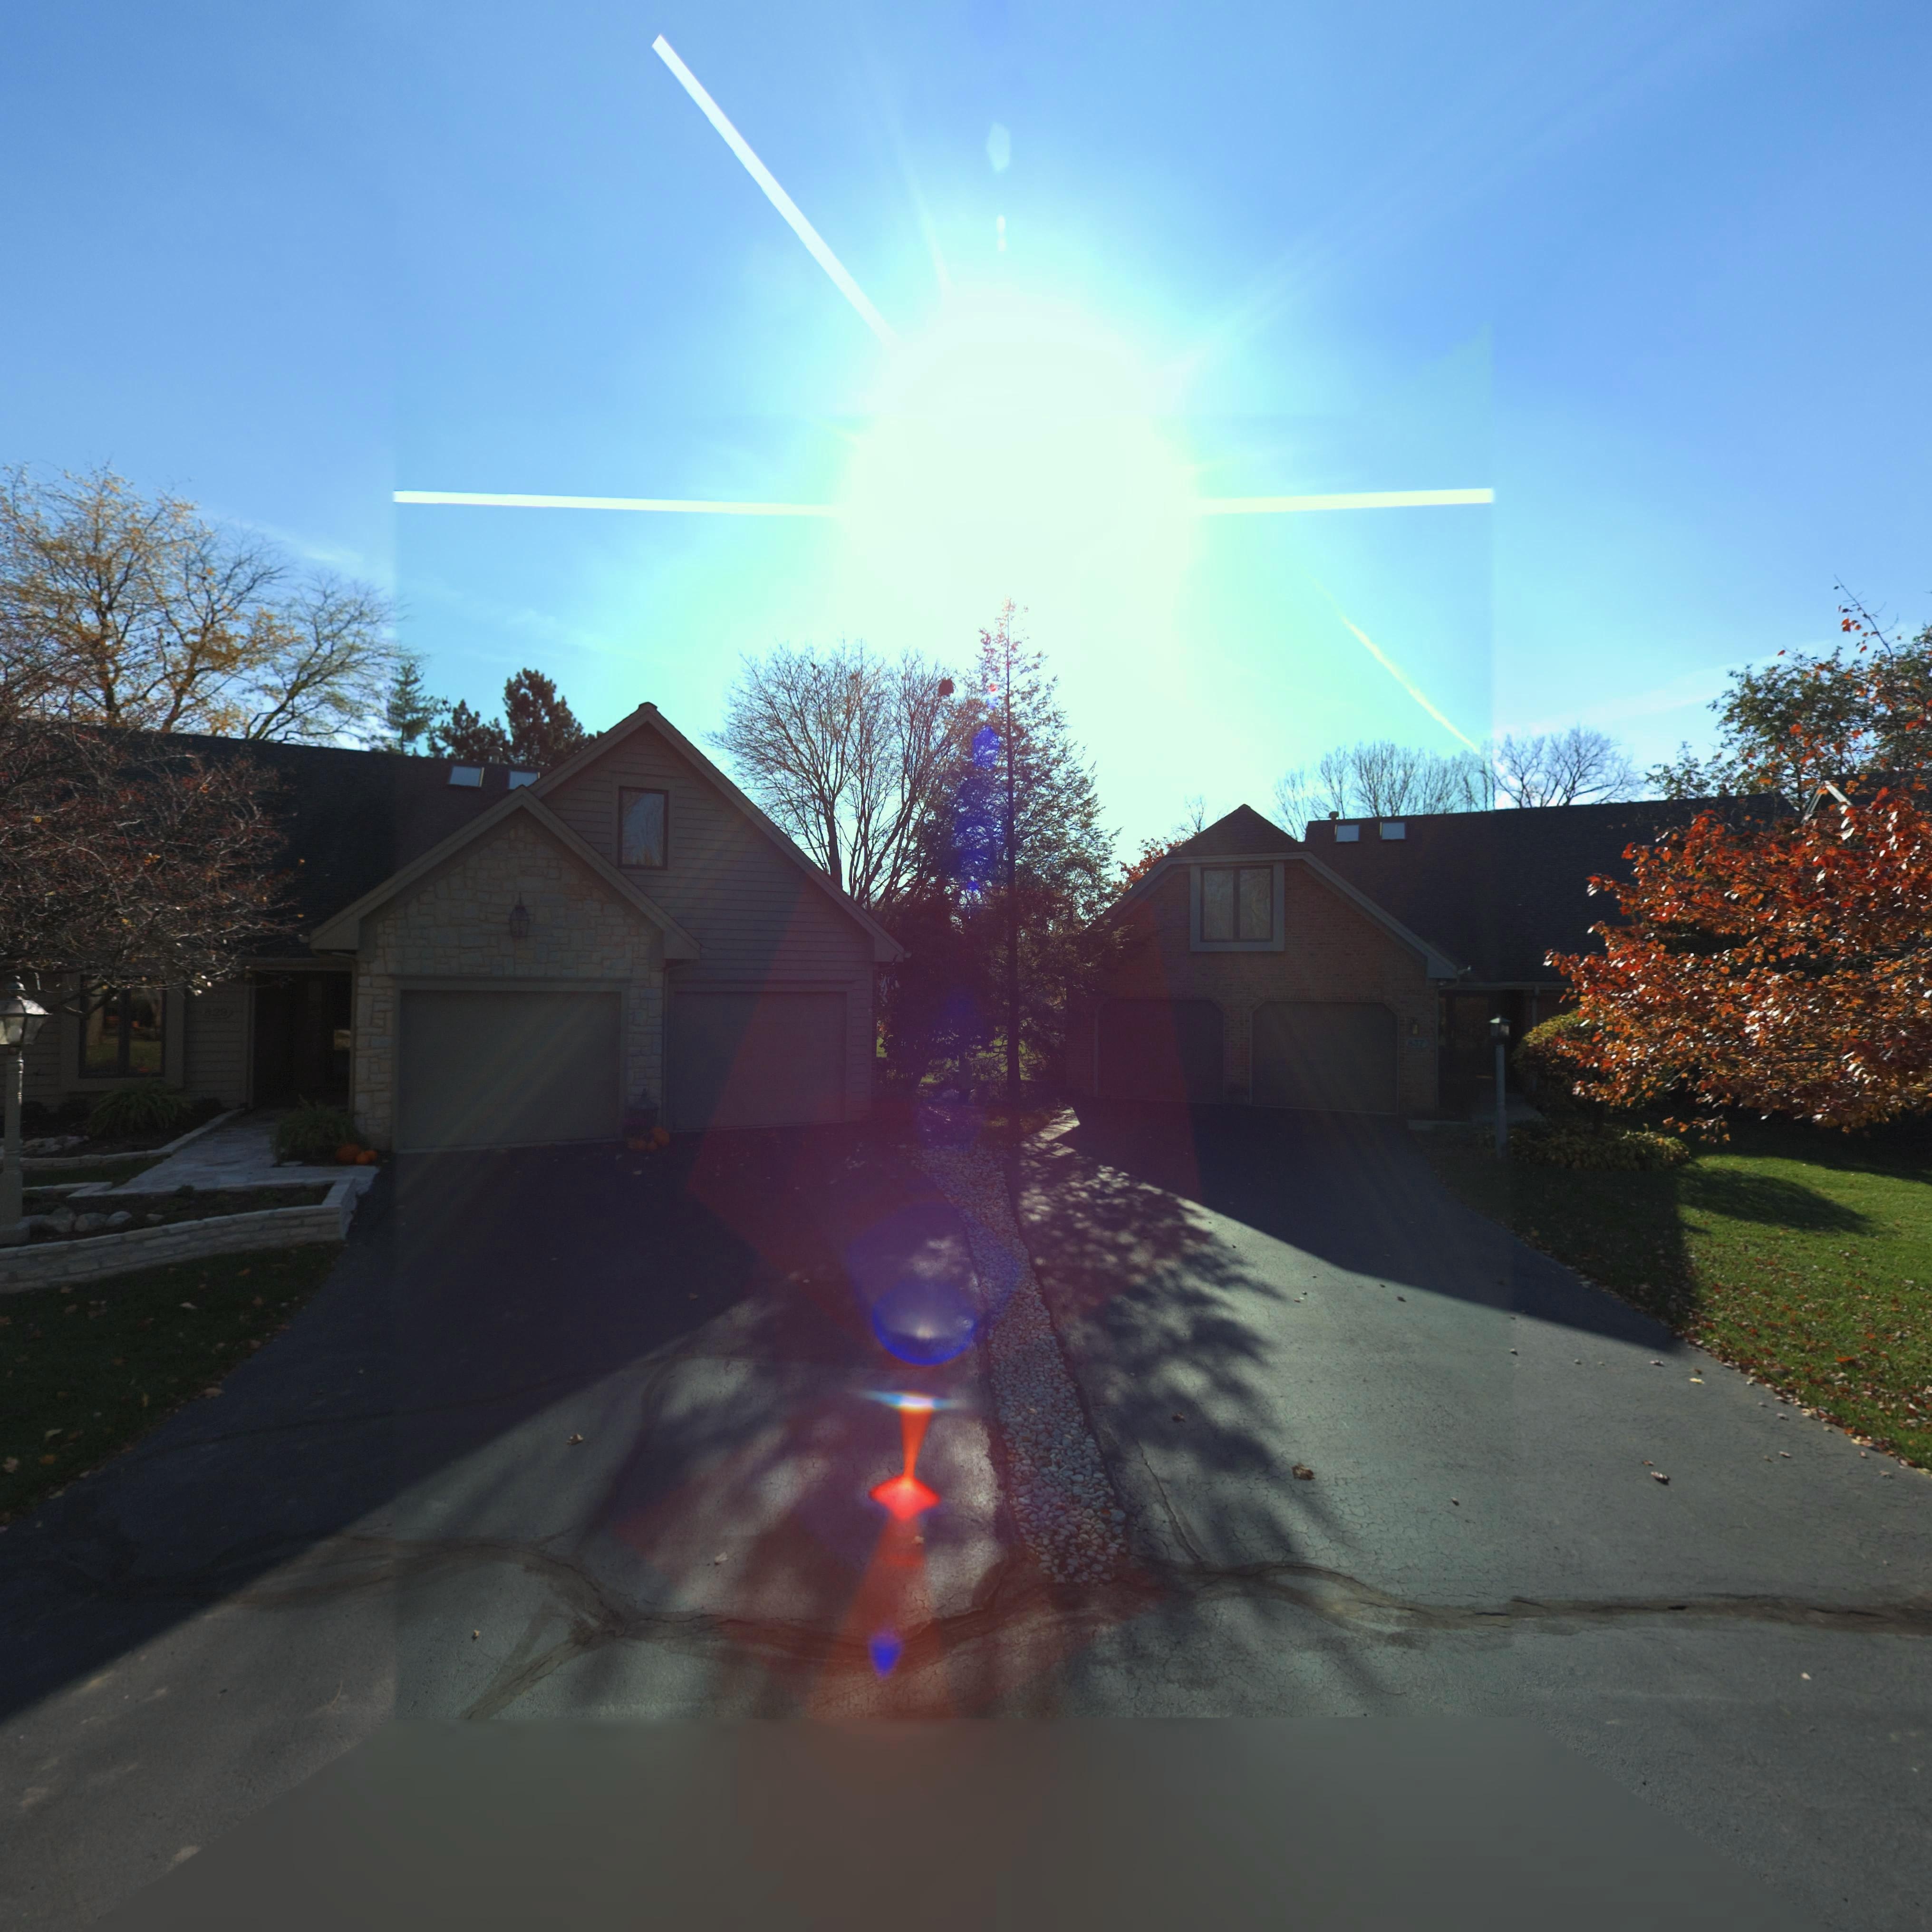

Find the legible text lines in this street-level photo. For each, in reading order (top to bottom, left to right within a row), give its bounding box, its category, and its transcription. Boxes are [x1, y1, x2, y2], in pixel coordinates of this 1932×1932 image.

[204, 1007, 227, 1016] StreetNumber: 829
[1408, 1039, 1424, 1048] StreetNumber: 837